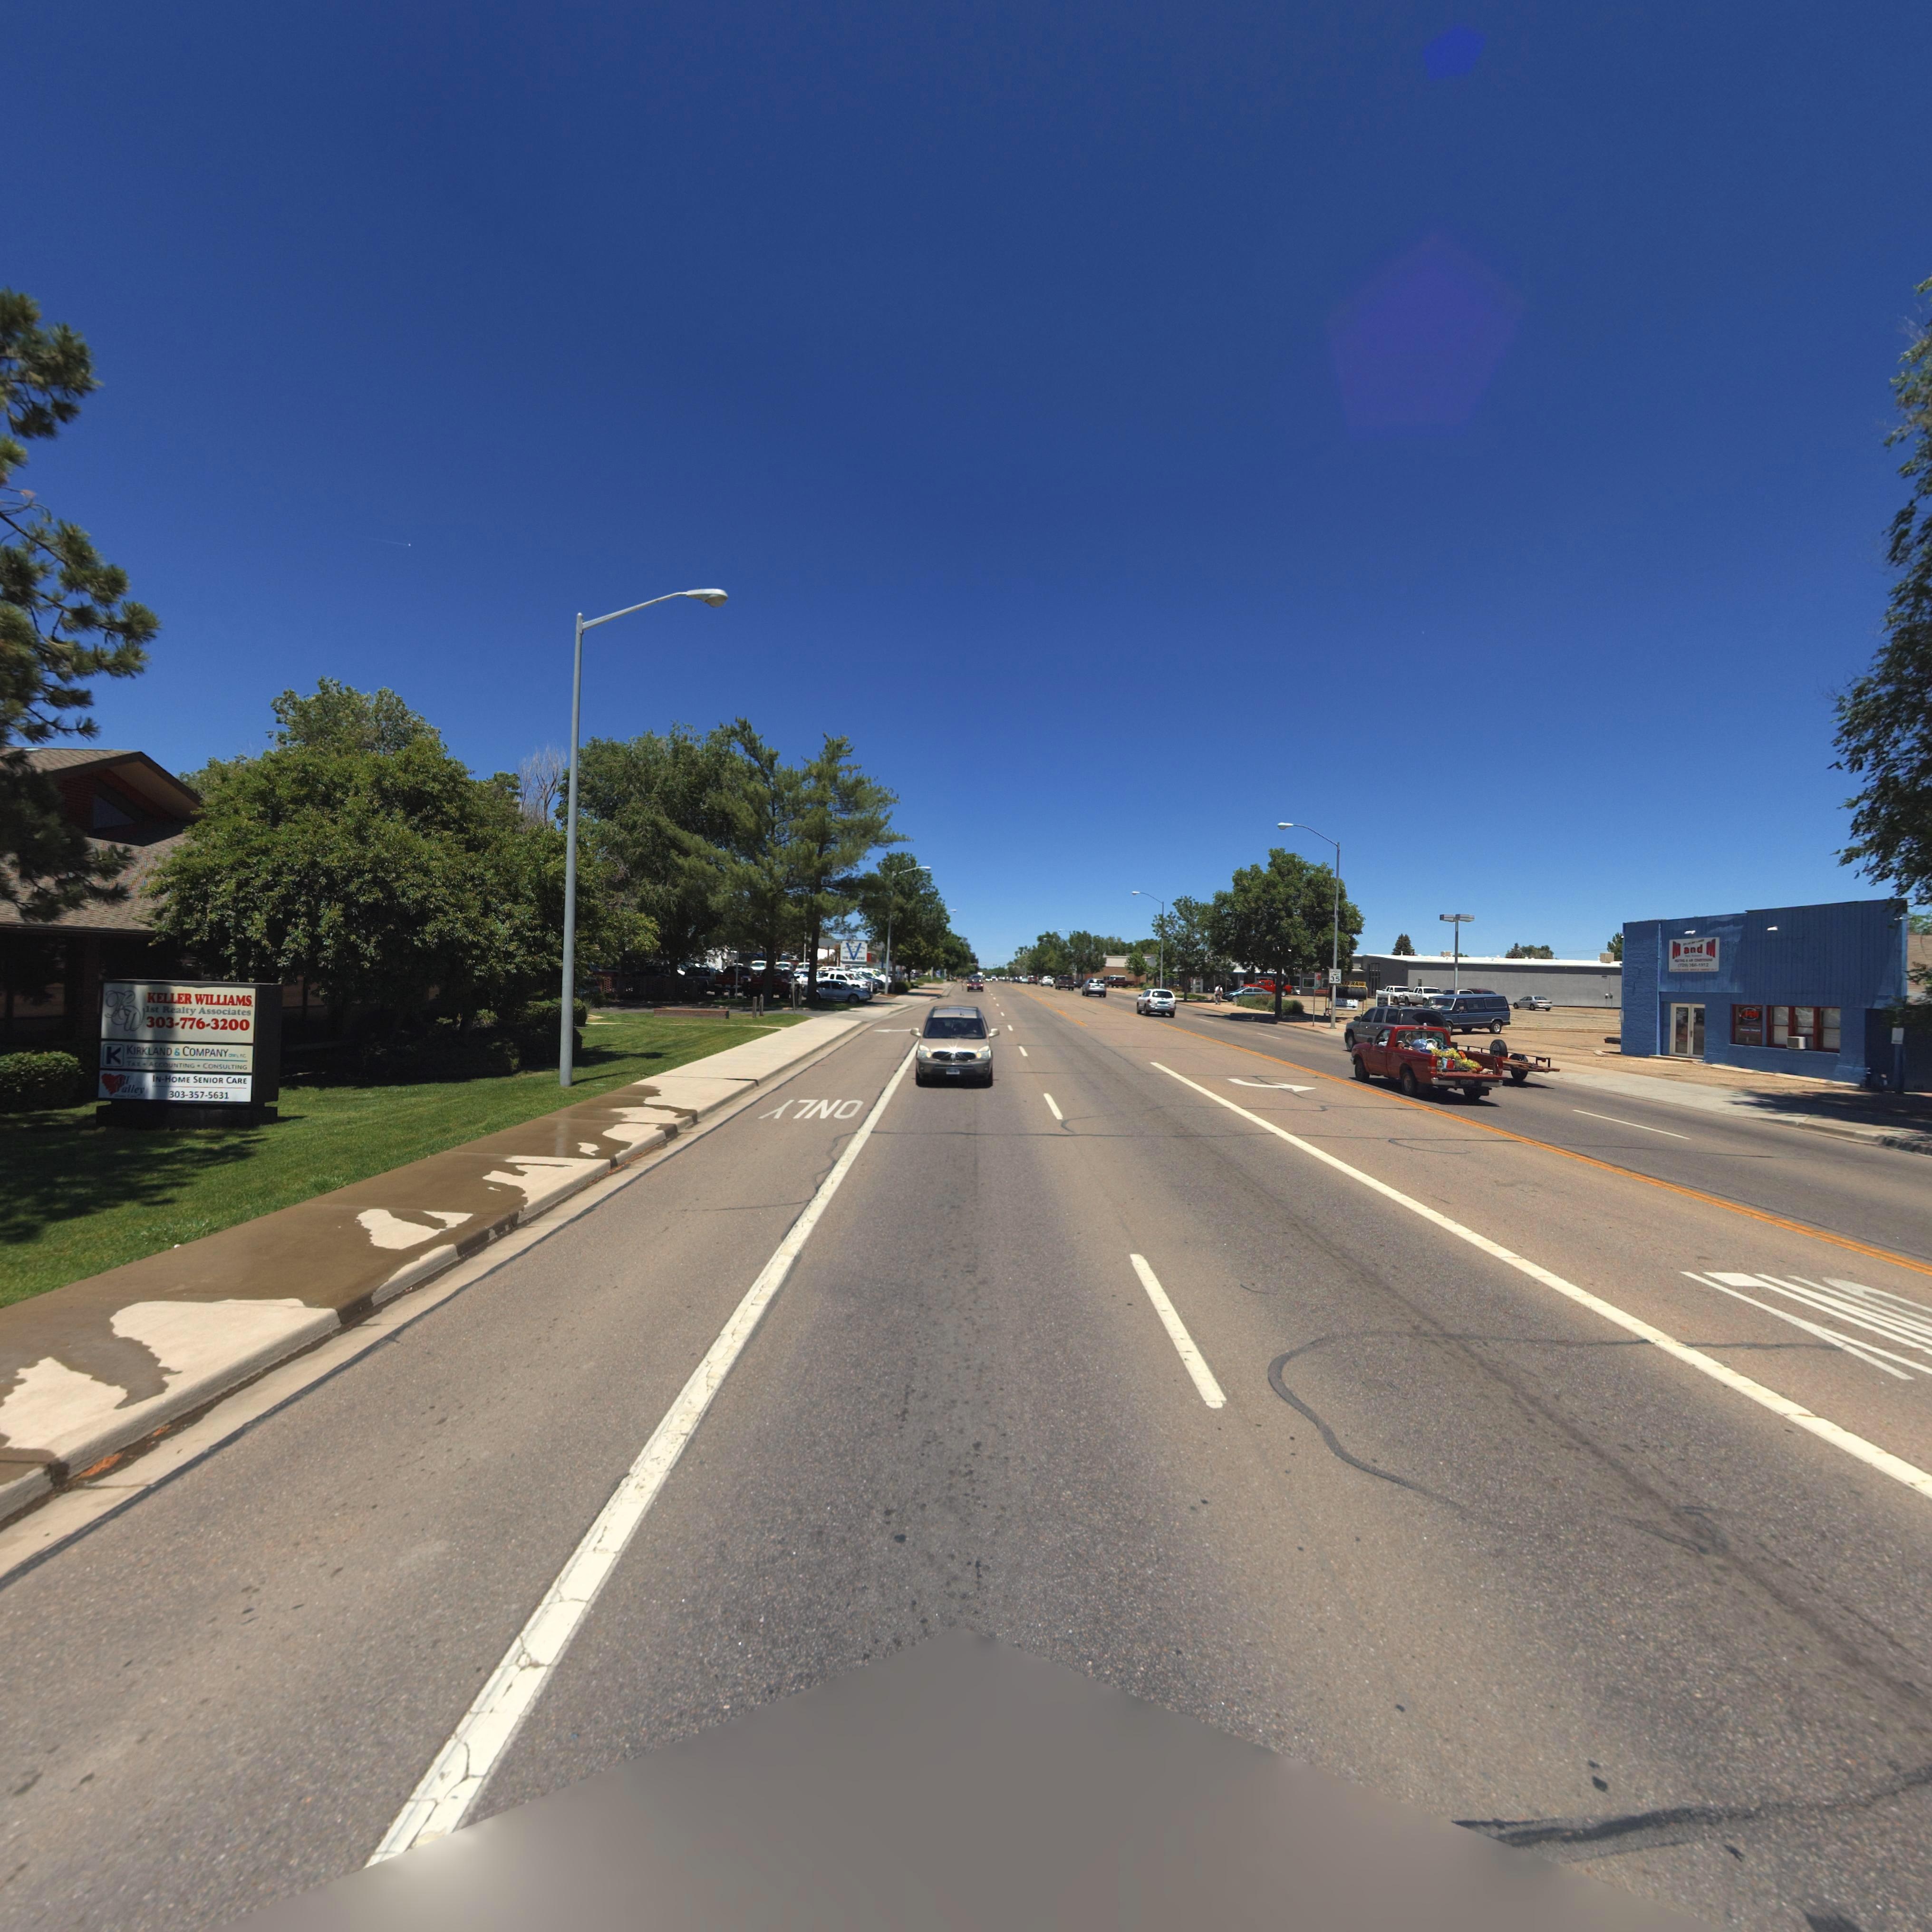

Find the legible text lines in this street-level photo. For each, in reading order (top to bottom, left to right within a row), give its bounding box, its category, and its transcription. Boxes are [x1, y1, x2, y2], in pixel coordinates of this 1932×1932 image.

[1671, 937, 1716, 959] BusinessName: M and M
[146, 991, 252, 1007] BusinessName: KELLER WILLIAMS
[145, 1005, 251, 1016] BusinessName: 1st Realty Associates
[126, 1044, 229, 1058] BusinessName: KIRKLAND * COMPANY
[112, 1074, 131, 1084] BusinessName: All
[115, 1083, 146, 1097] BusinessName: Valley